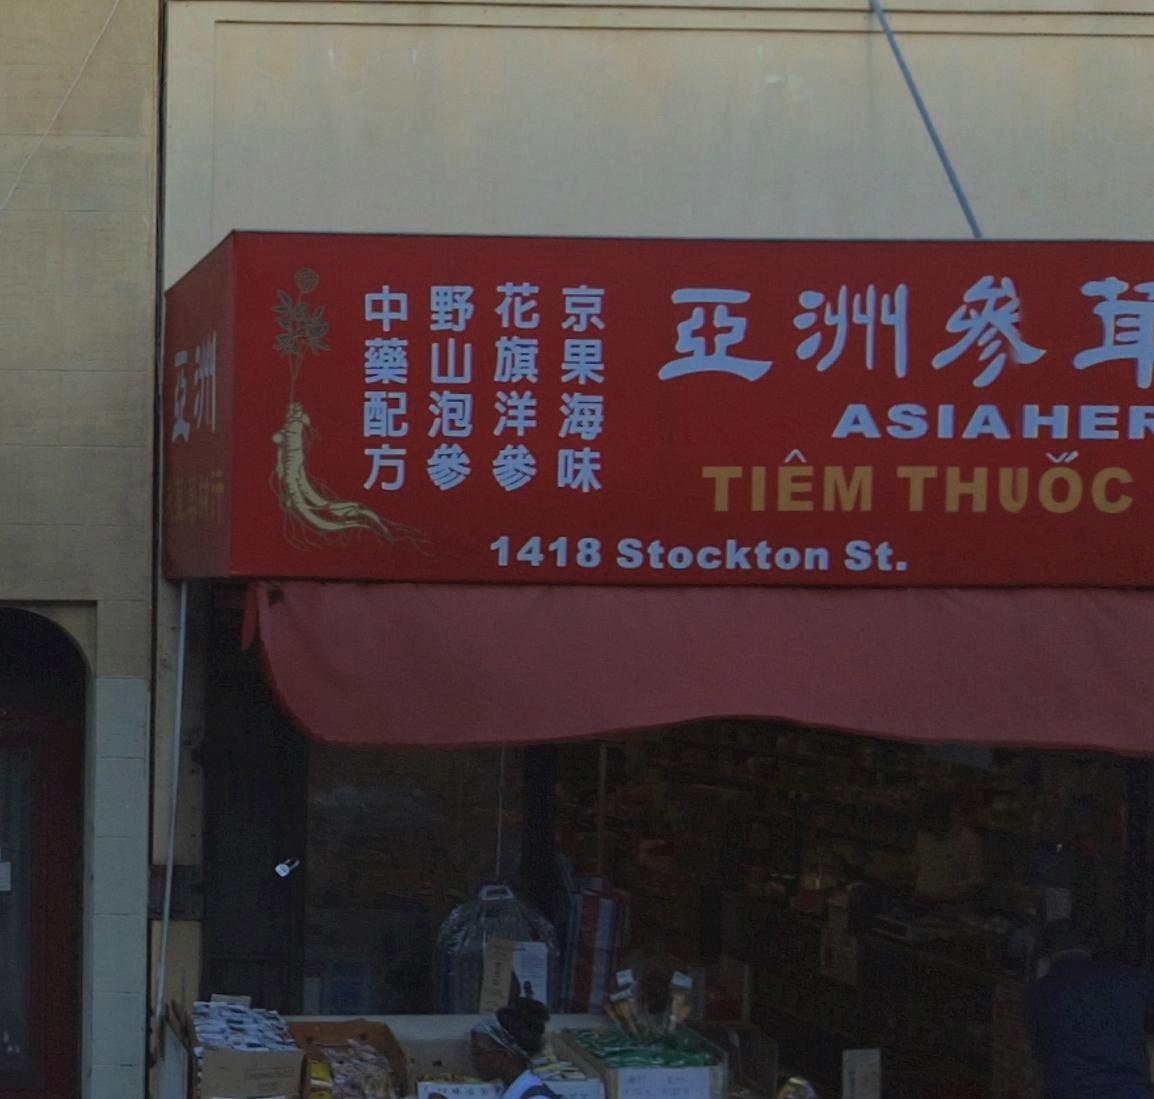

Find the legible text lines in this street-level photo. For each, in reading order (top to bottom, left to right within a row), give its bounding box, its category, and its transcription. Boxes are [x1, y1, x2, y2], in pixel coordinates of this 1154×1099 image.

[826, 401, 1122, 443] None: ASIAHE
[697, 463, 1135, 515] BusinessName: TIEM THUOC
[488, 534, 604, 569] StreetNumber: 1418
[614, 537, 908, 573] StreetName: Stockton St.